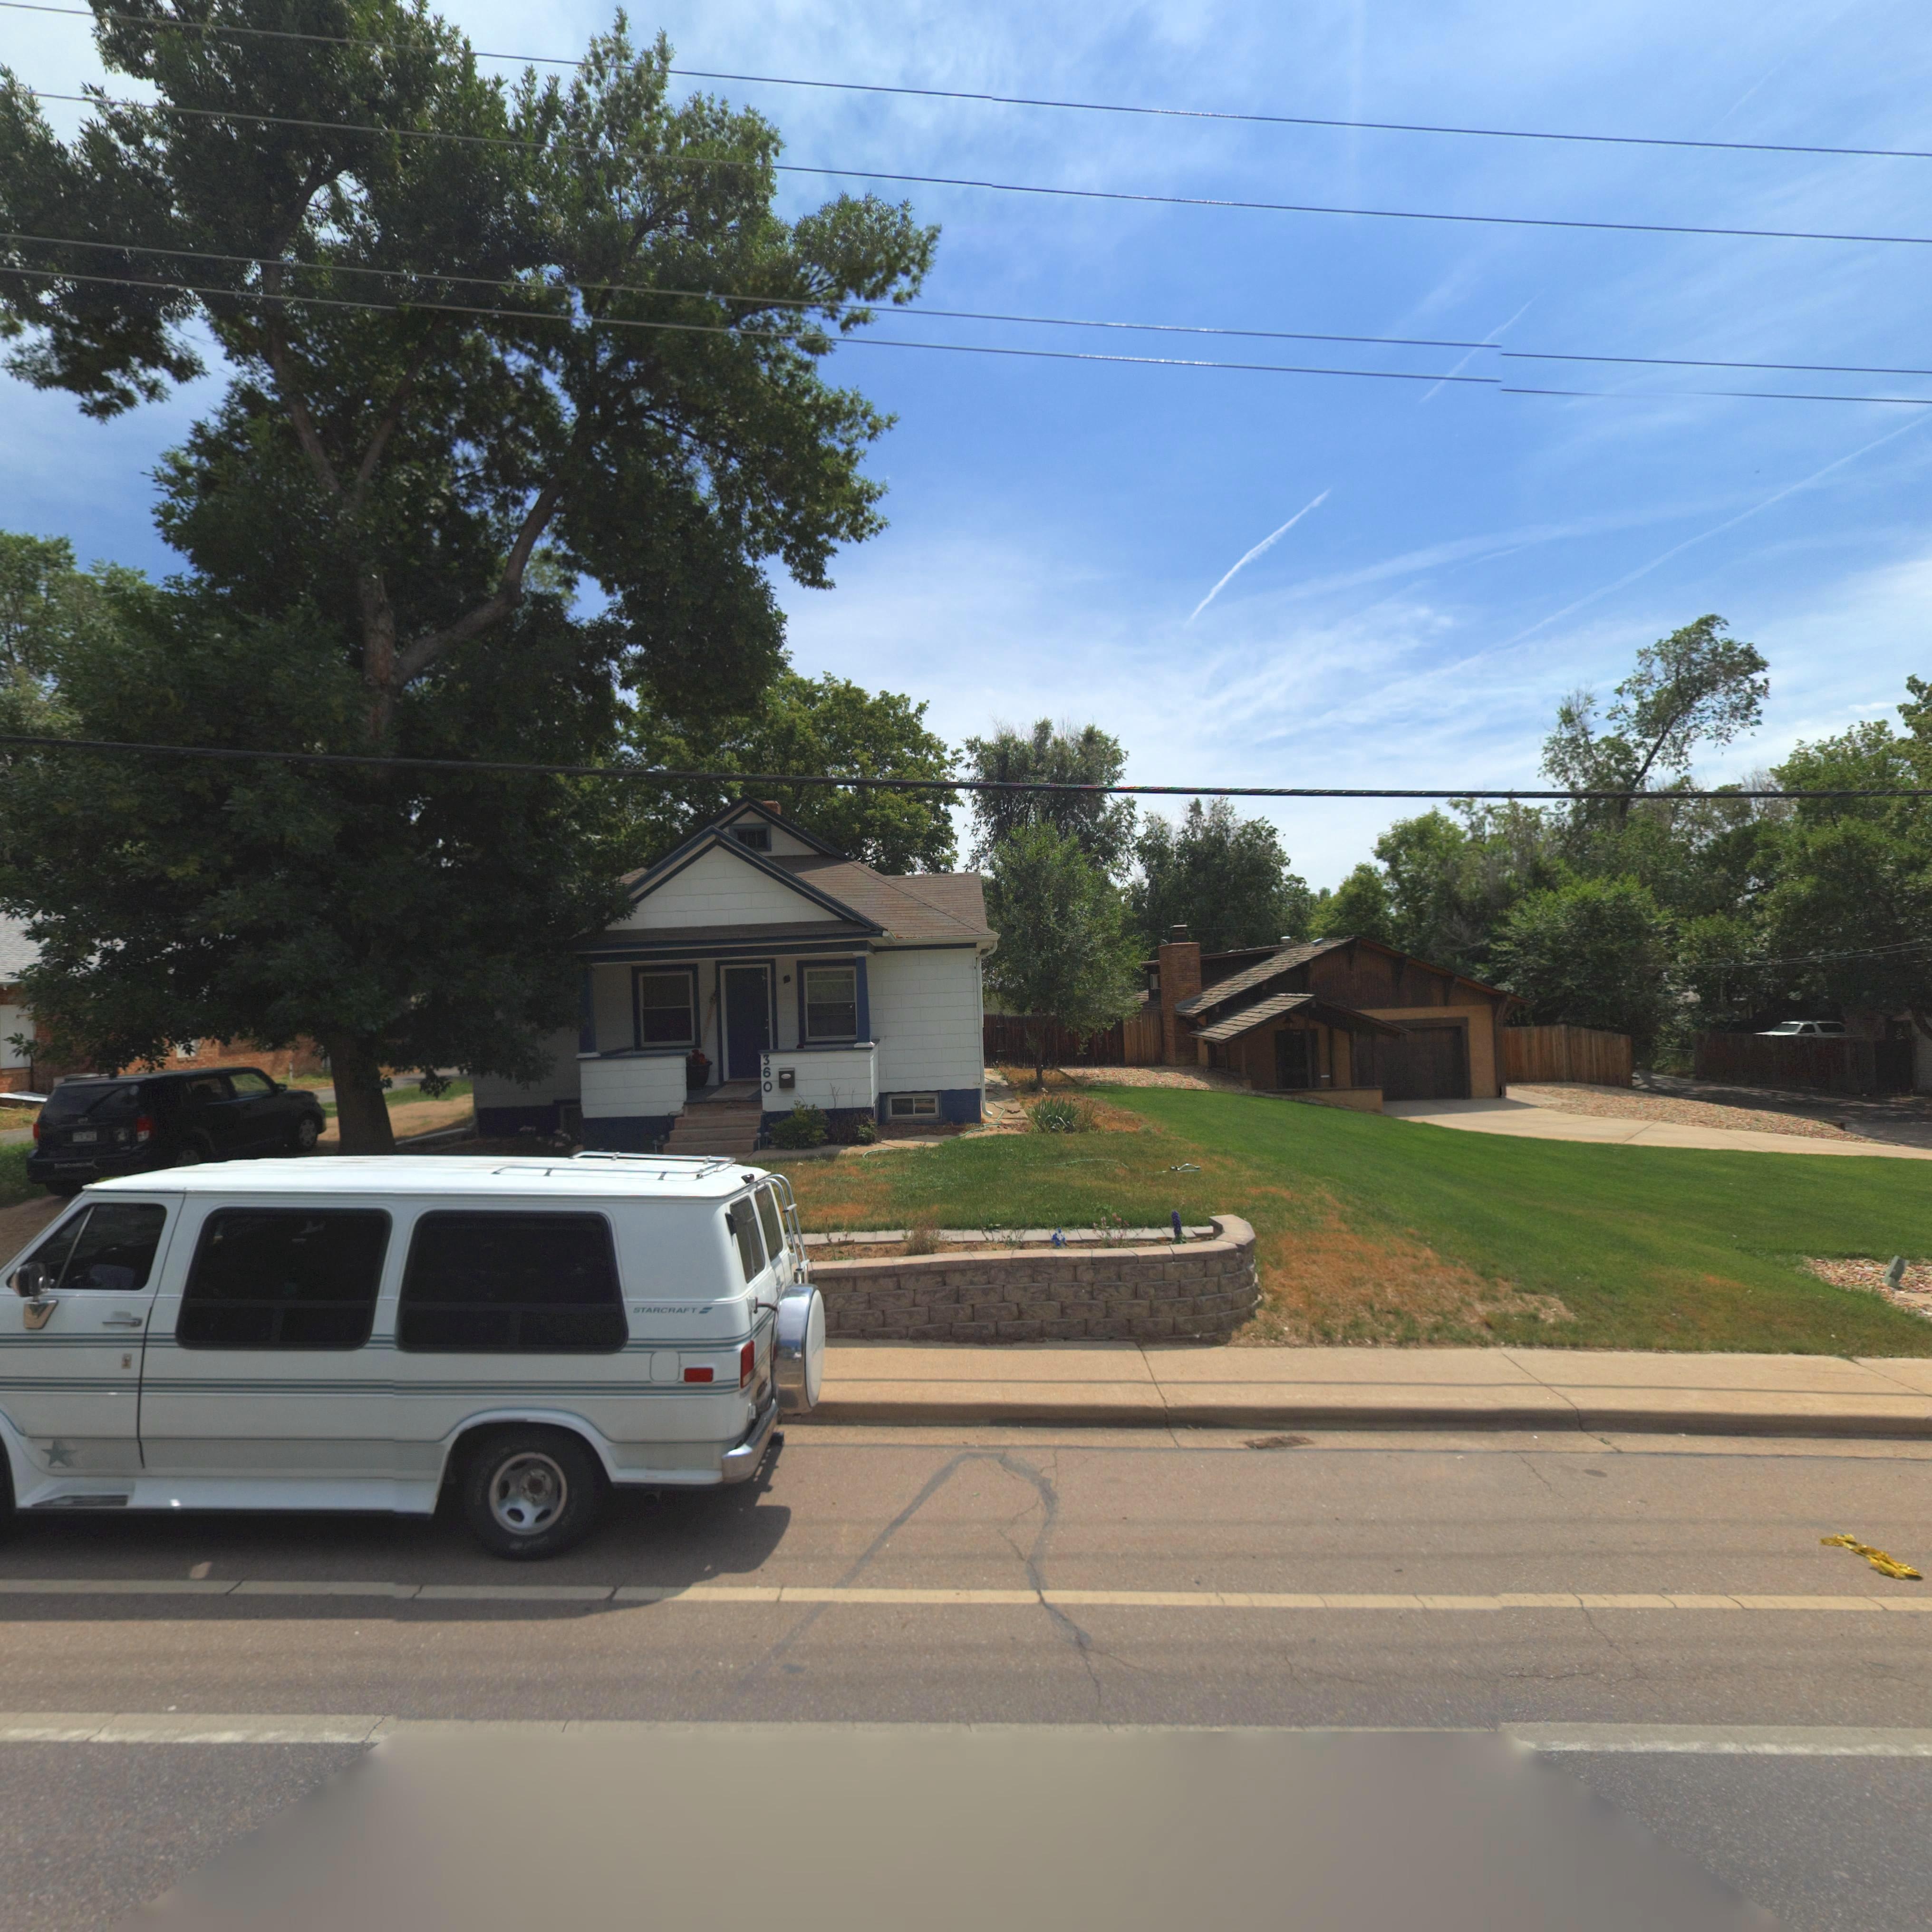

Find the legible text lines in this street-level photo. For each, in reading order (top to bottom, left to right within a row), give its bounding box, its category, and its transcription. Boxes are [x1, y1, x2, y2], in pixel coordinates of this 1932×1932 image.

[762, 1053, 773, 1092] StreetNumber: 360